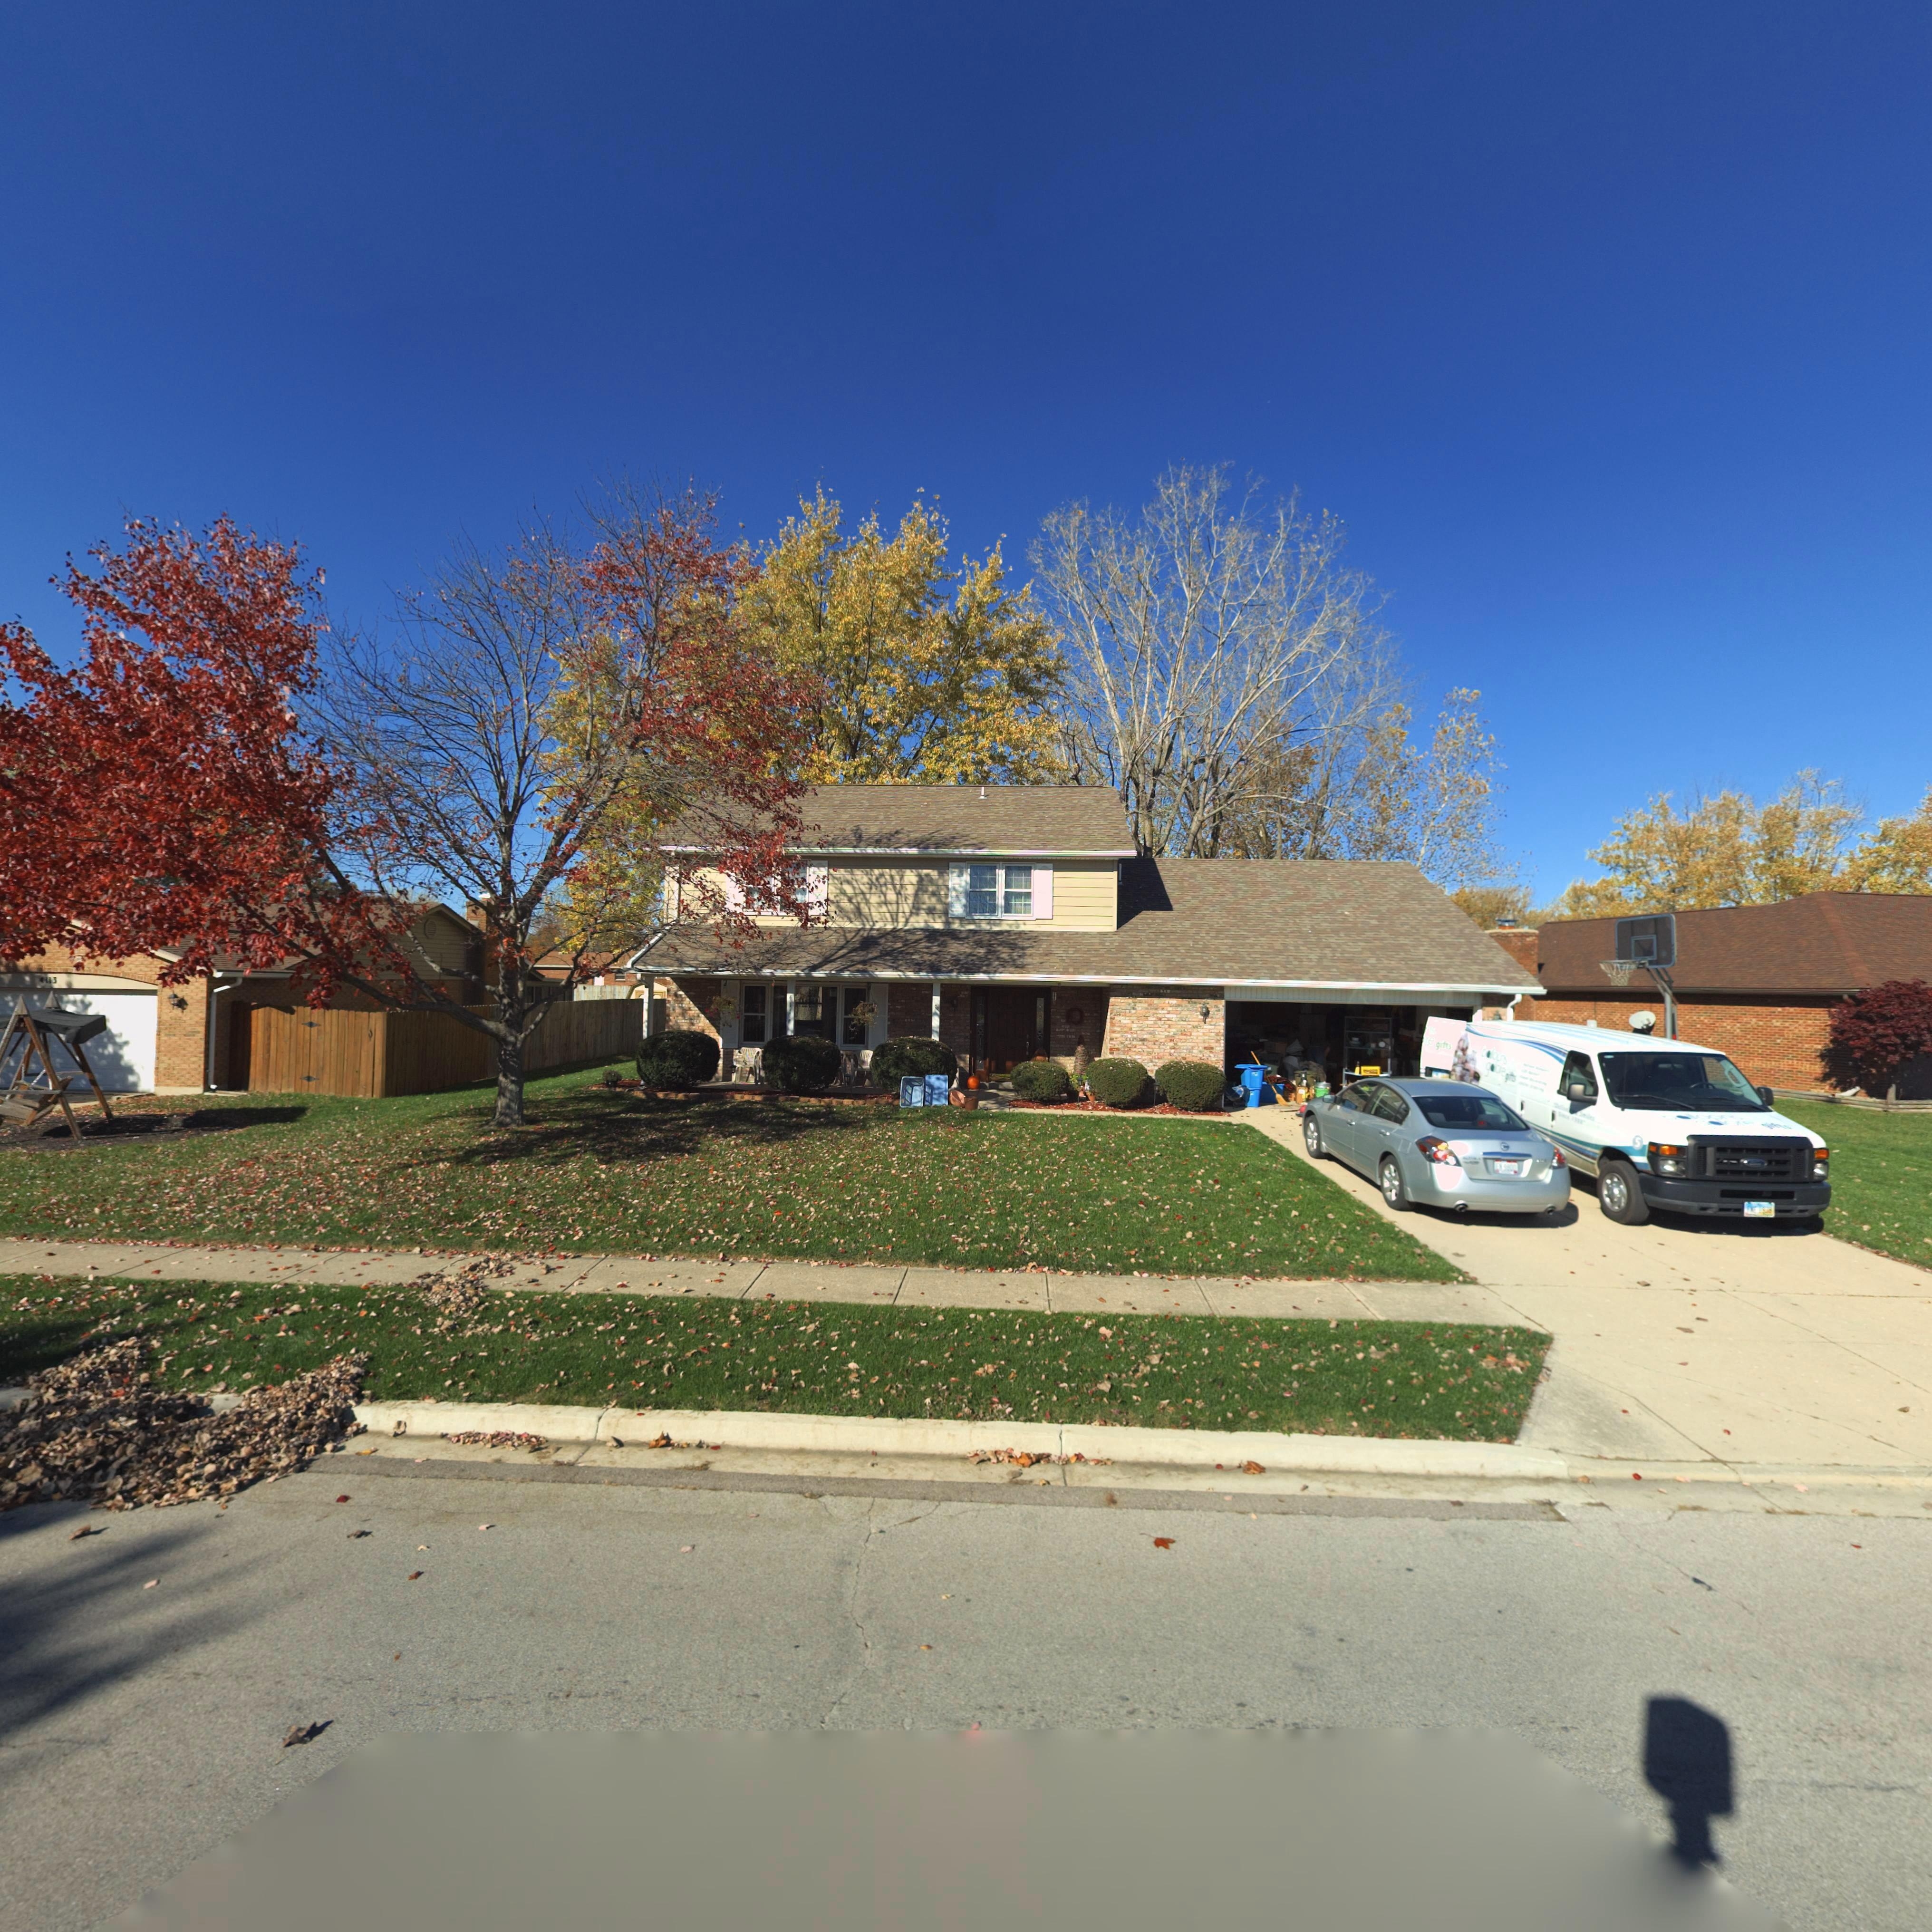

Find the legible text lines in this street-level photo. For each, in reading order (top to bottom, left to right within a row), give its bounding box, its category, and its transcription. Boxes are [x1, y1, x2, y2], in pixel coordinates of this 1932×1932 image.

[38, 976, 58, 984] StreetNumber: 4113
[788, 995, 792, 1021] StreetNumber: 4111